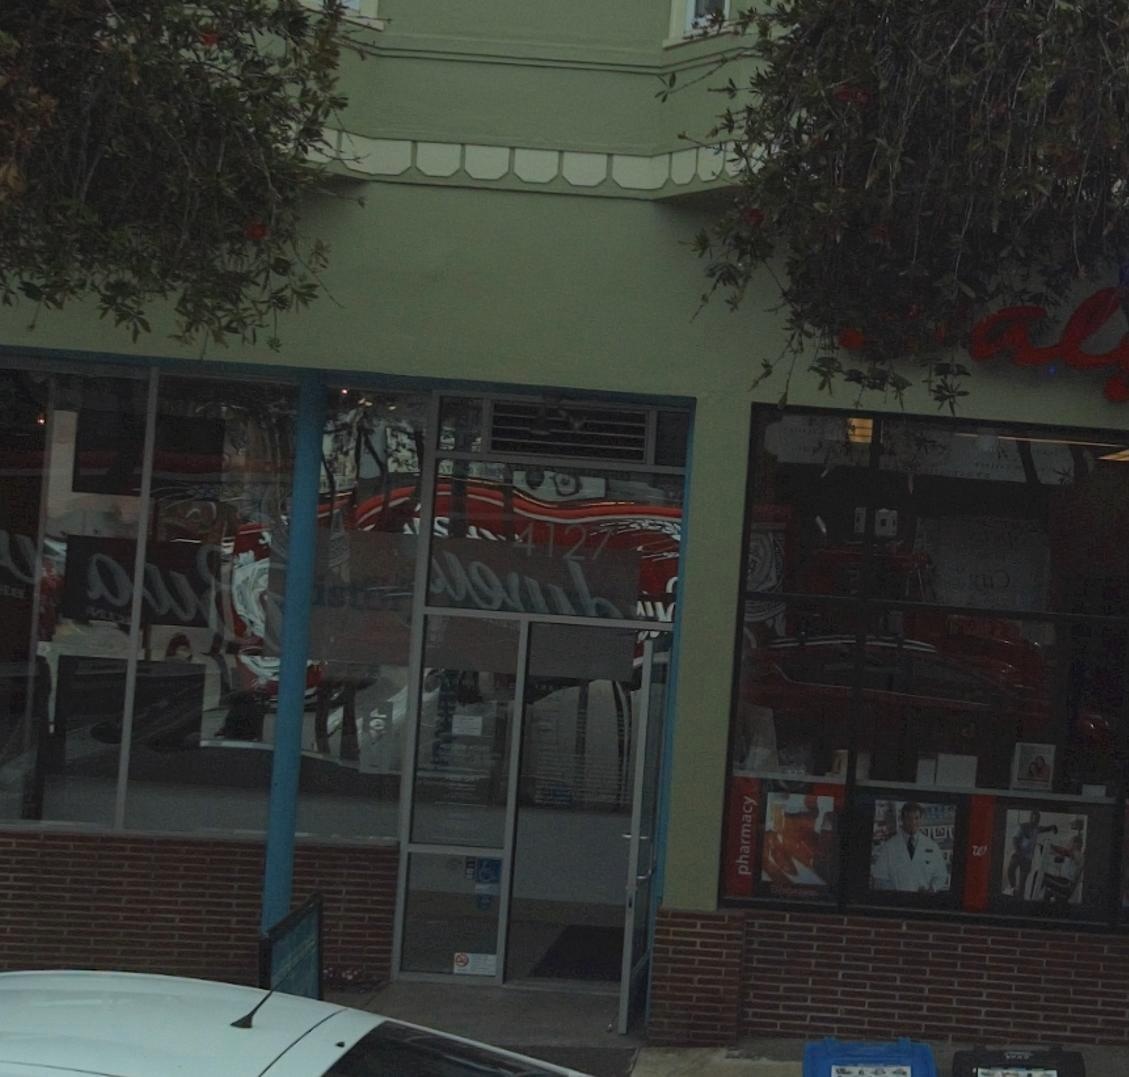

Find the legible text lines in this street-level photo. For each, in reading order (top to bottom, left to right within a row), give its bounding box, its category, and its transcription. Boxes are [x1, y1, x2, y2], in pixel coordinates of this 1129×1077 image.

[969, 281, 1119, 380] None: al
[511, 520, 621, 562] StreetNumber: 4127
[970, 844, 990, 857] None: W